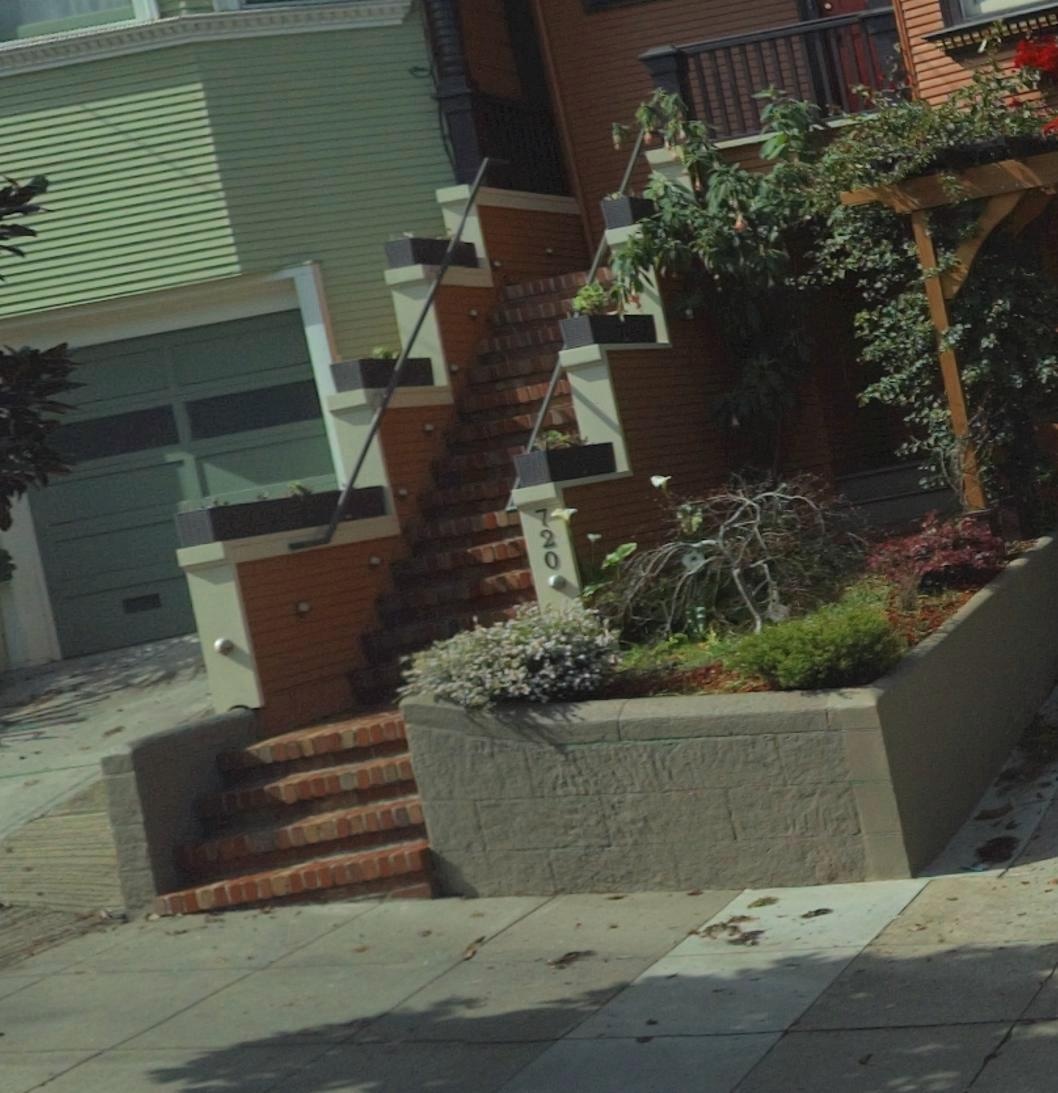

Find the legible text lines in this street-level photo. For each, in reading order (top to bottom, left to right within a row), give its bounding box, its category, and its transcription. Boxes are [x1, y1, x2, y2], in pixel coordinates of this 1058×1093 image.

[532, 505, 565, 575] StreetNumber: 720